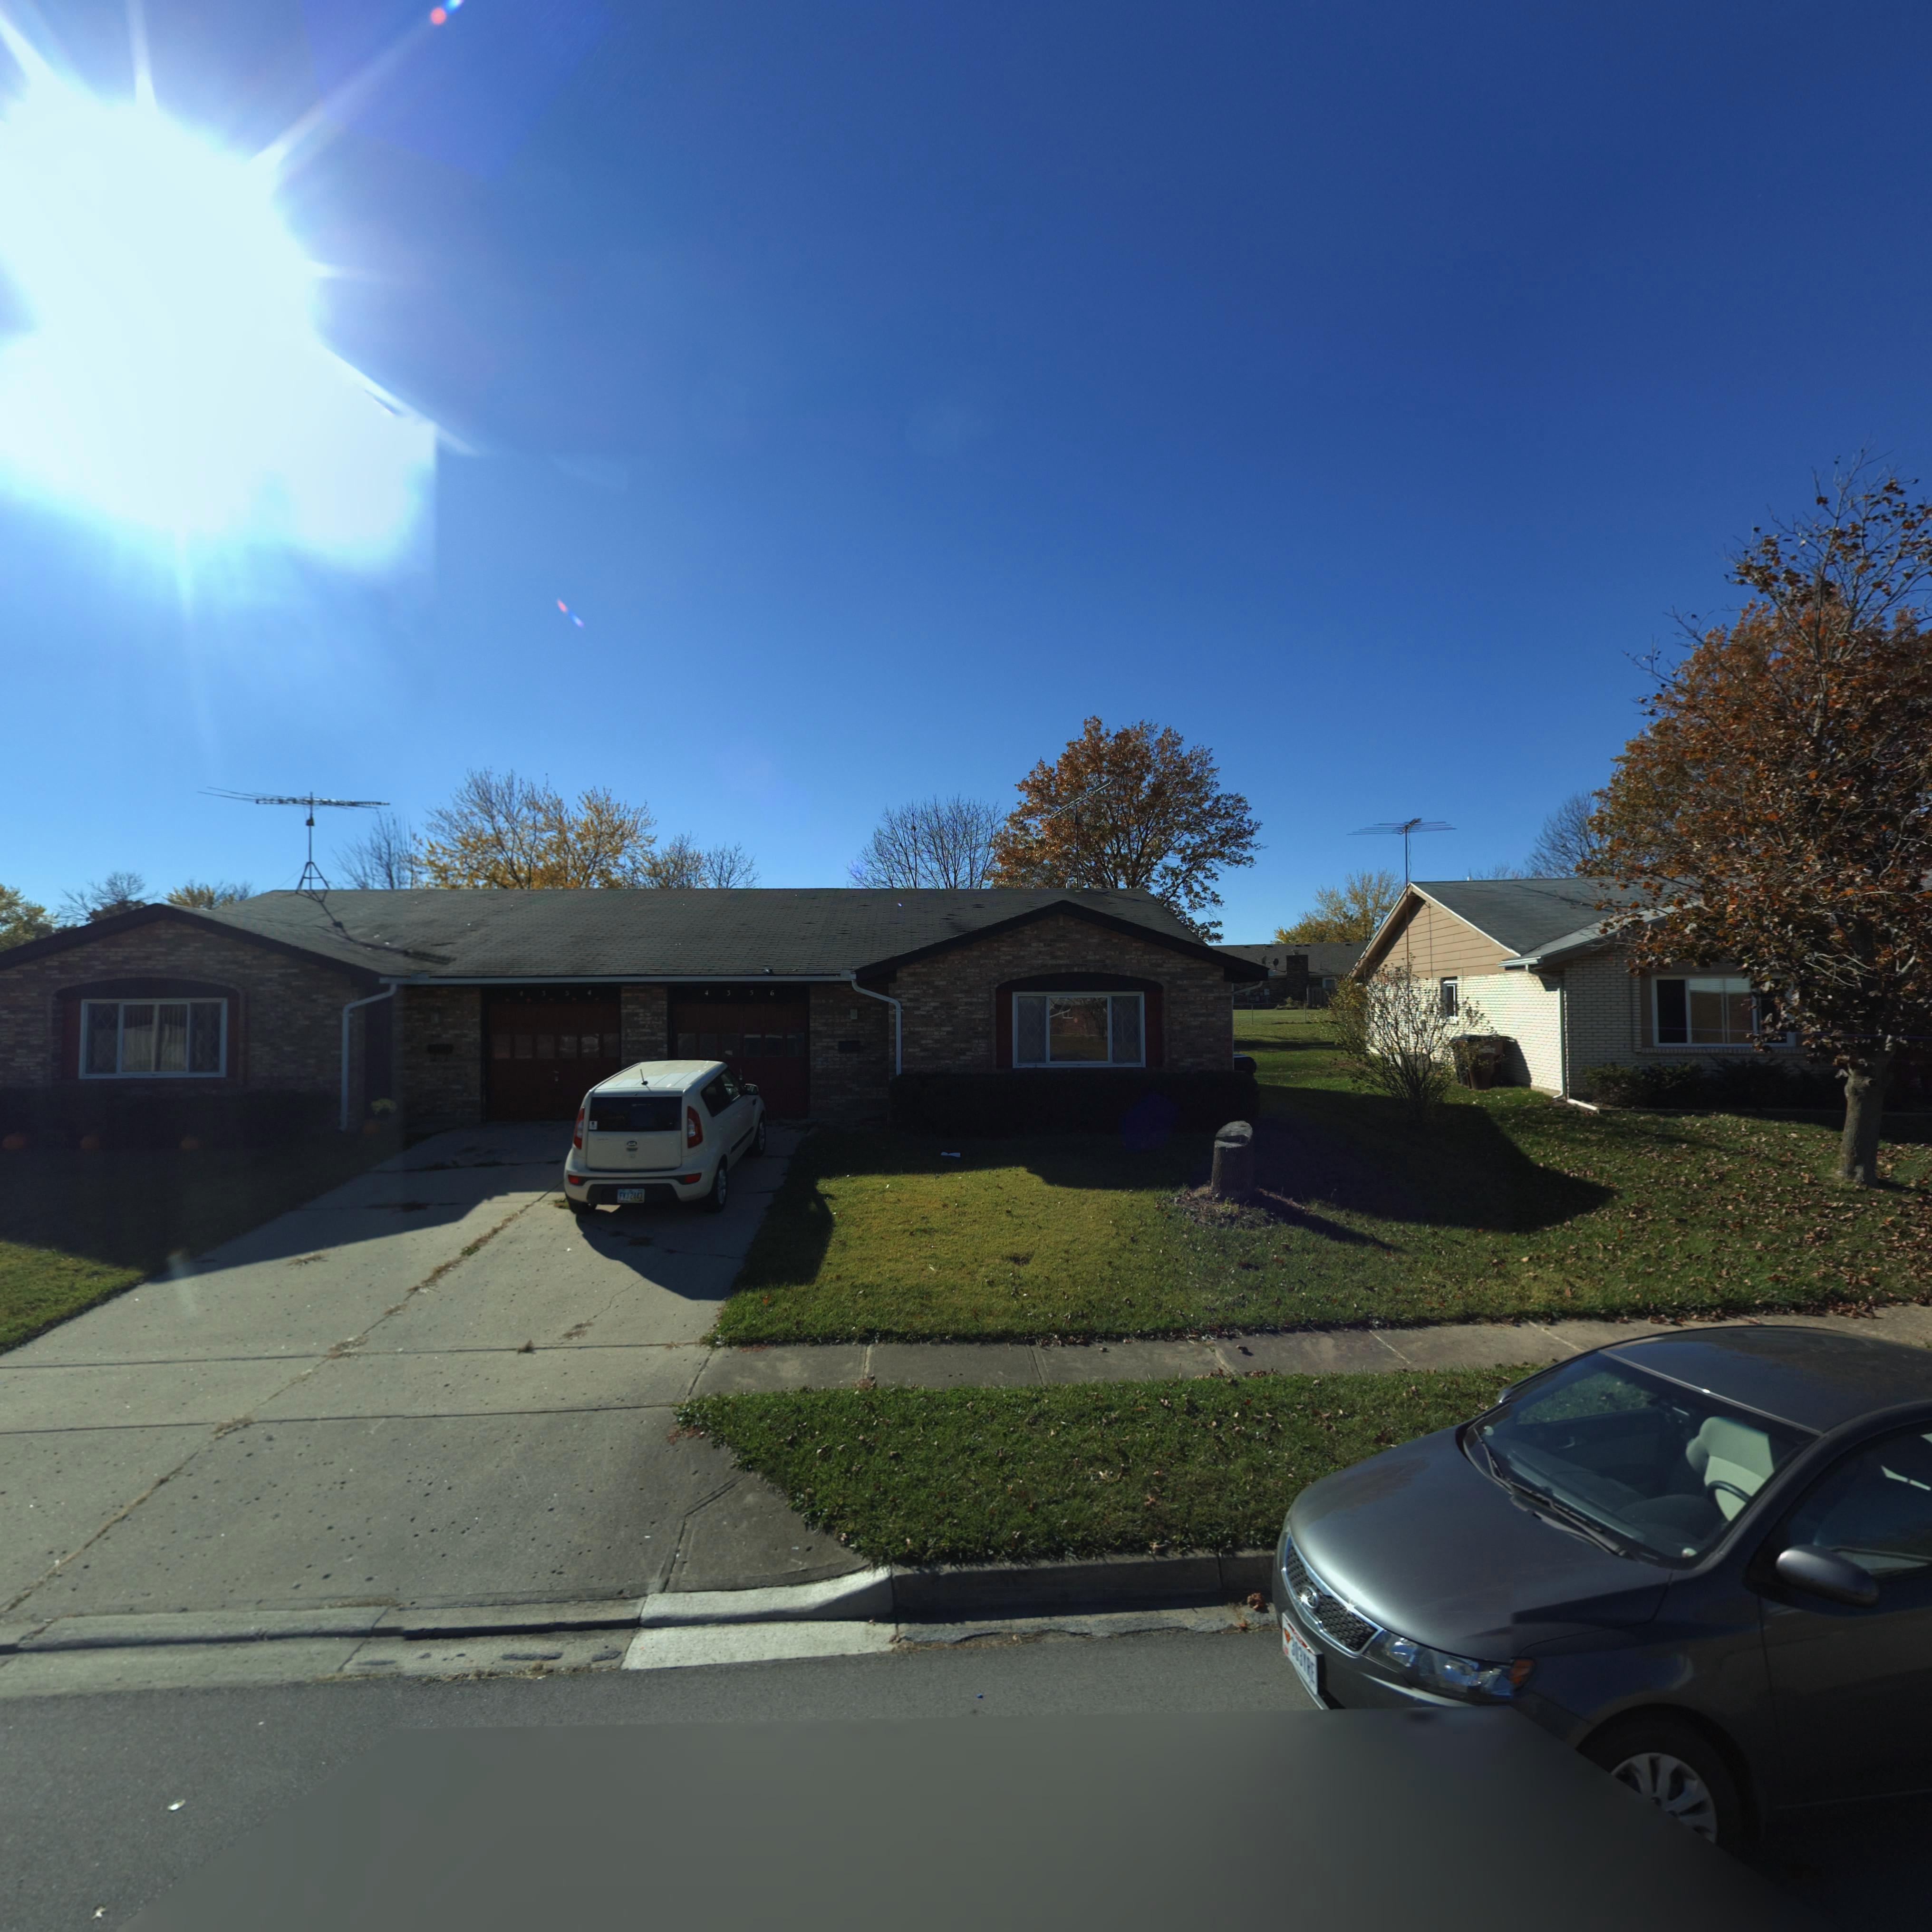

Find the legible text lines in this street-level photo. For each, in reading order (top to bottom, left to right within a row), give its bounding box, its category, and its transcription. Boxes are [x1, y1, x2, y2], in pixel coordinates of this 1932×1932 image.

[517, 989, 593, 997] StreetNumber: 4354
[703, 989, 775, 996] StreetNumber: 4356